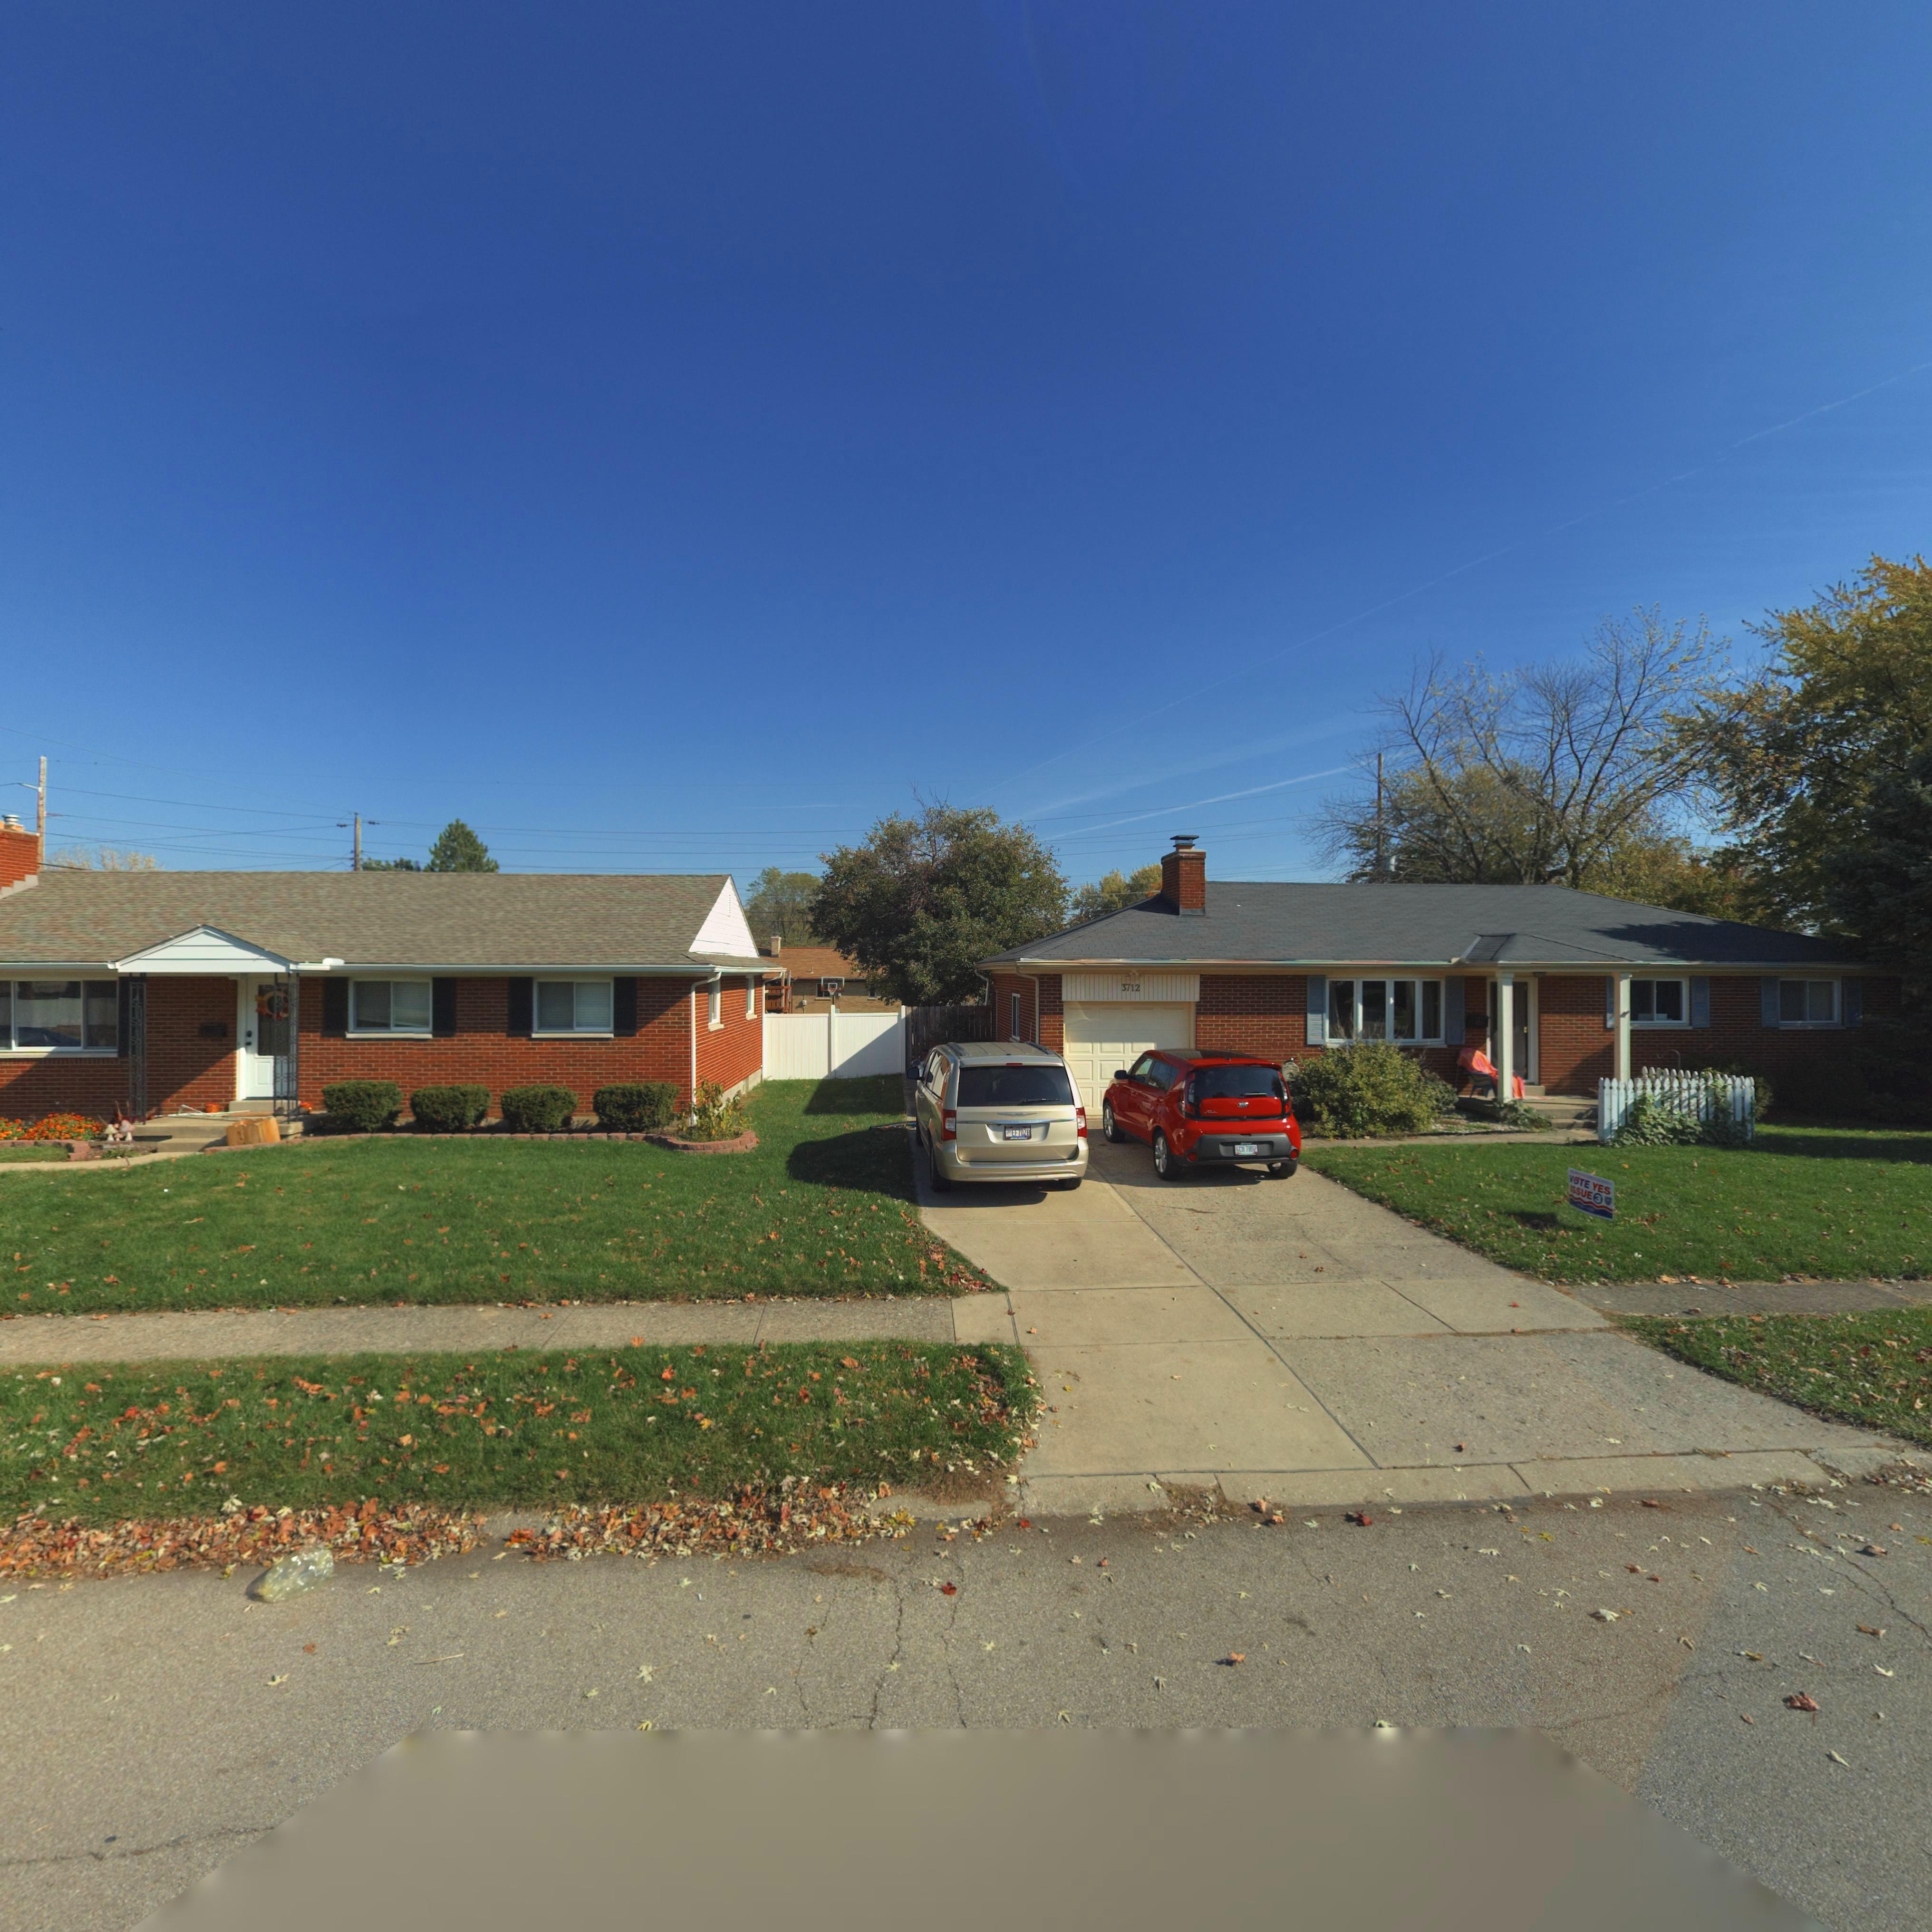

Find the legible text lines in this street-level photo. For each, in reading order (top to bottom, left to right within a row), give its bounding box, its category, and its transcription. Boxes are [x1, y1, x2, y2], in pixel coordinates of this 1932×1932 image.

[1120, 983, 1141, 992] StreetNumber: 3712